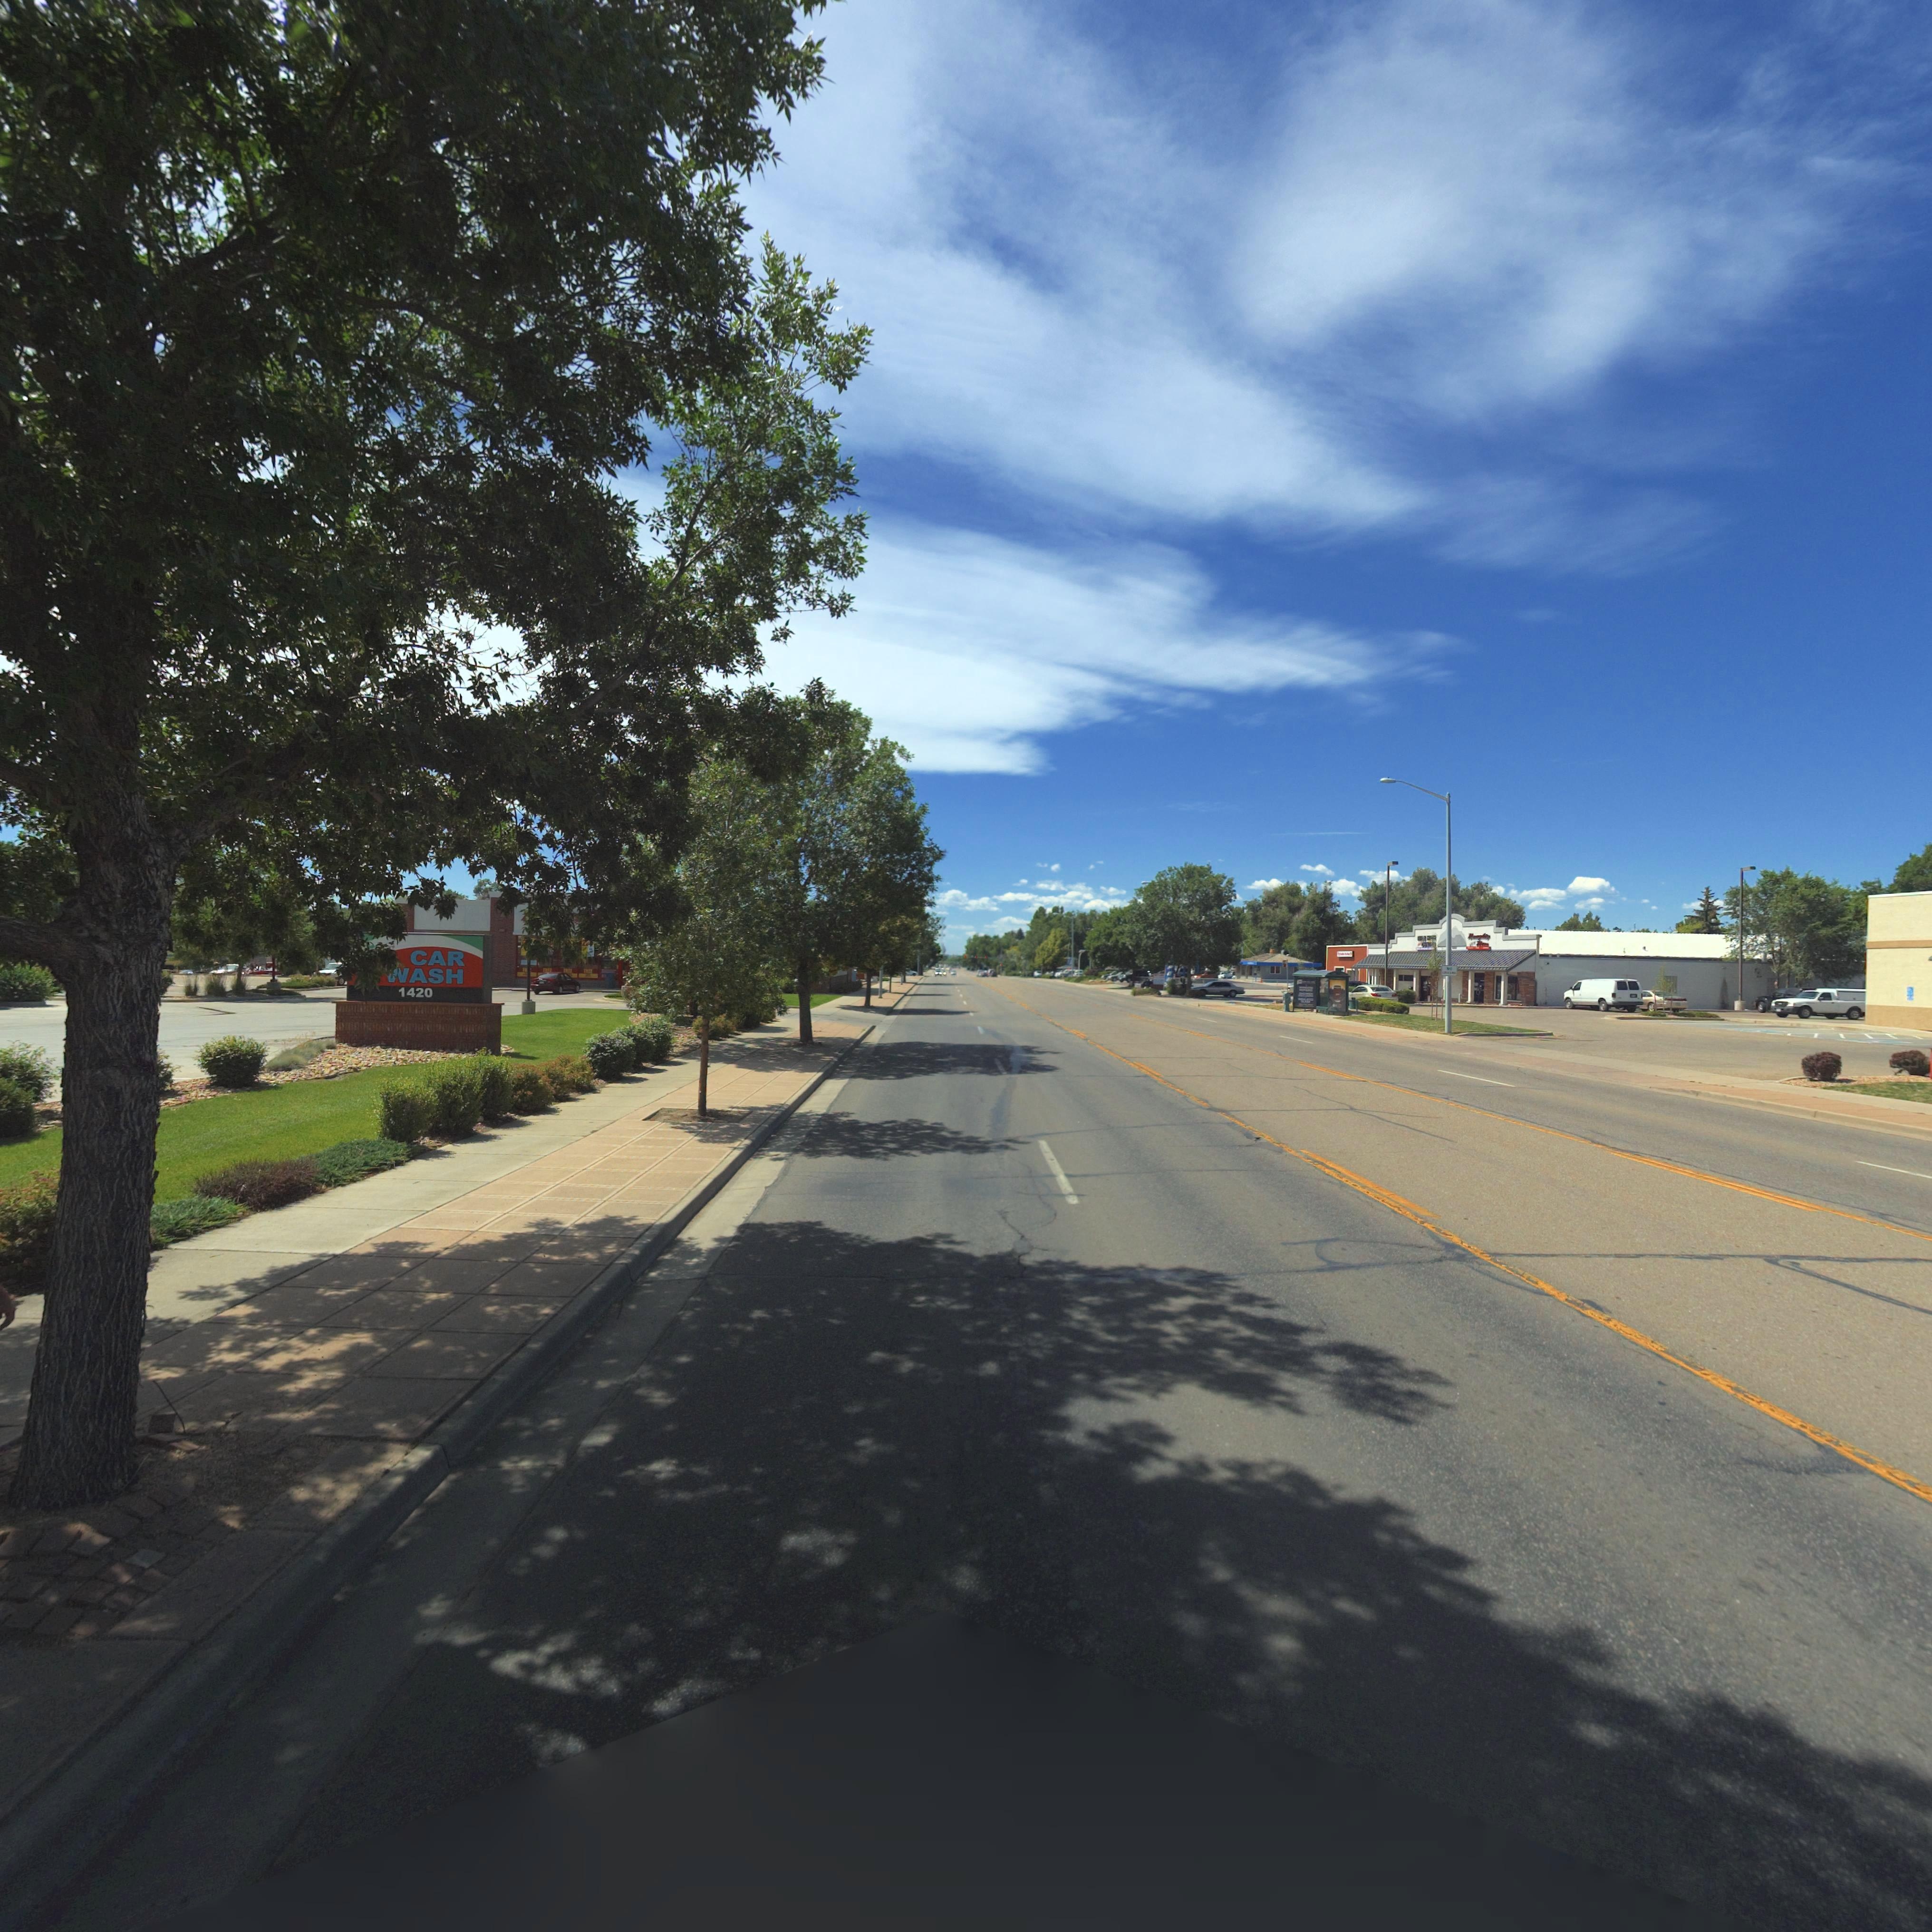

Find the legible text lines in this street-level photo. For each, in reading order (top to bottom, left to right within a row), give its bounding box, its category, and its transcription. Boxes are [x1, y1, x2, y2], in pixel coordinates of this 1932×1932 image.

[409, 949, 465, 967] BusinessName: CAR
[384, 966, 464, 984] BusinessName: *ASH
[398, 987, 433, 998] StreetNumber: 1420